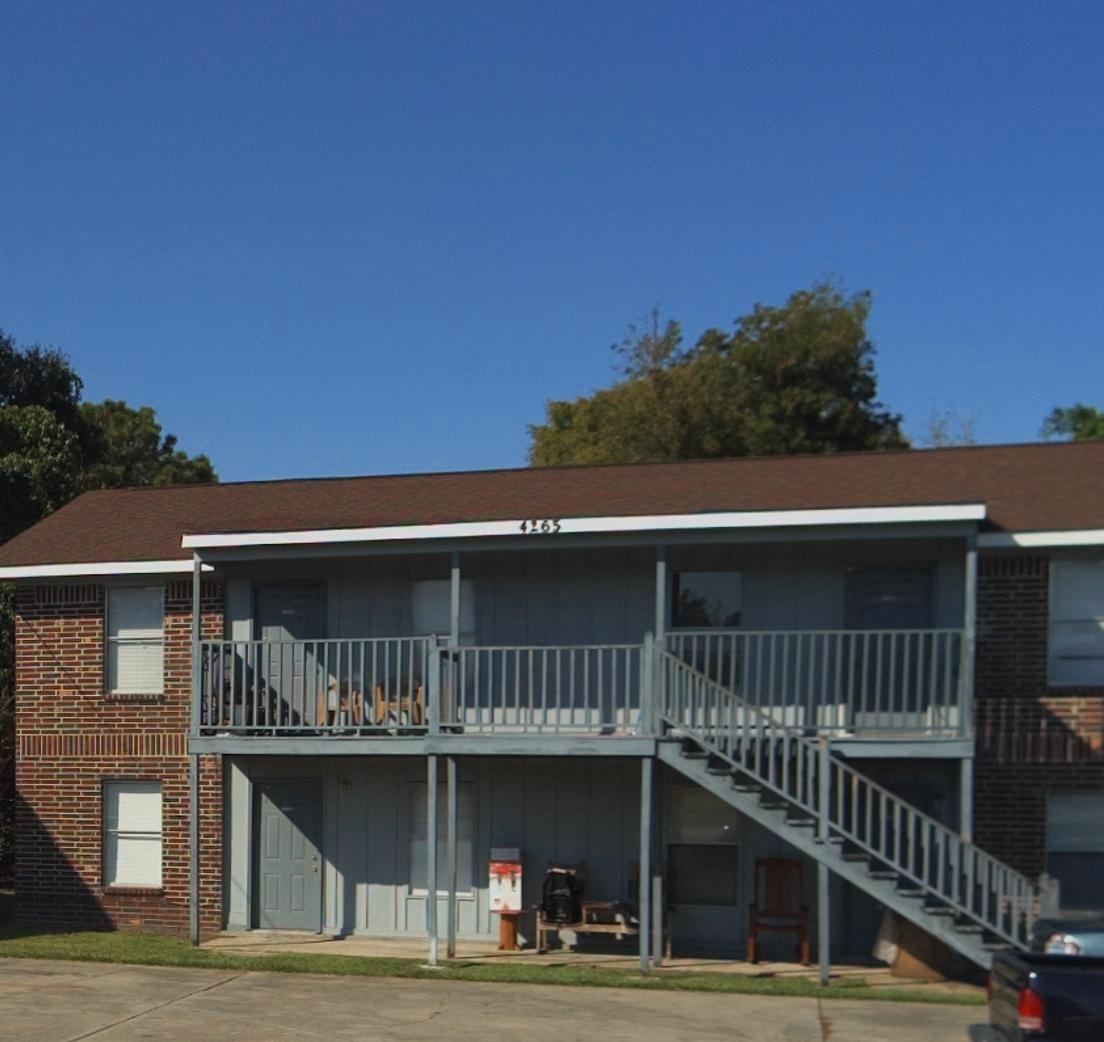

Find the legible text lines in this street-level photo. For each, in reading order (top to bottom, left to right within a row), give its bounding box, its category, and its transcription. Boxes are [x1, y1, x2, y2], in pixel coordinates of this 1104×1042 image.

[519, 518, 561, 534] StreetNumber: 4265